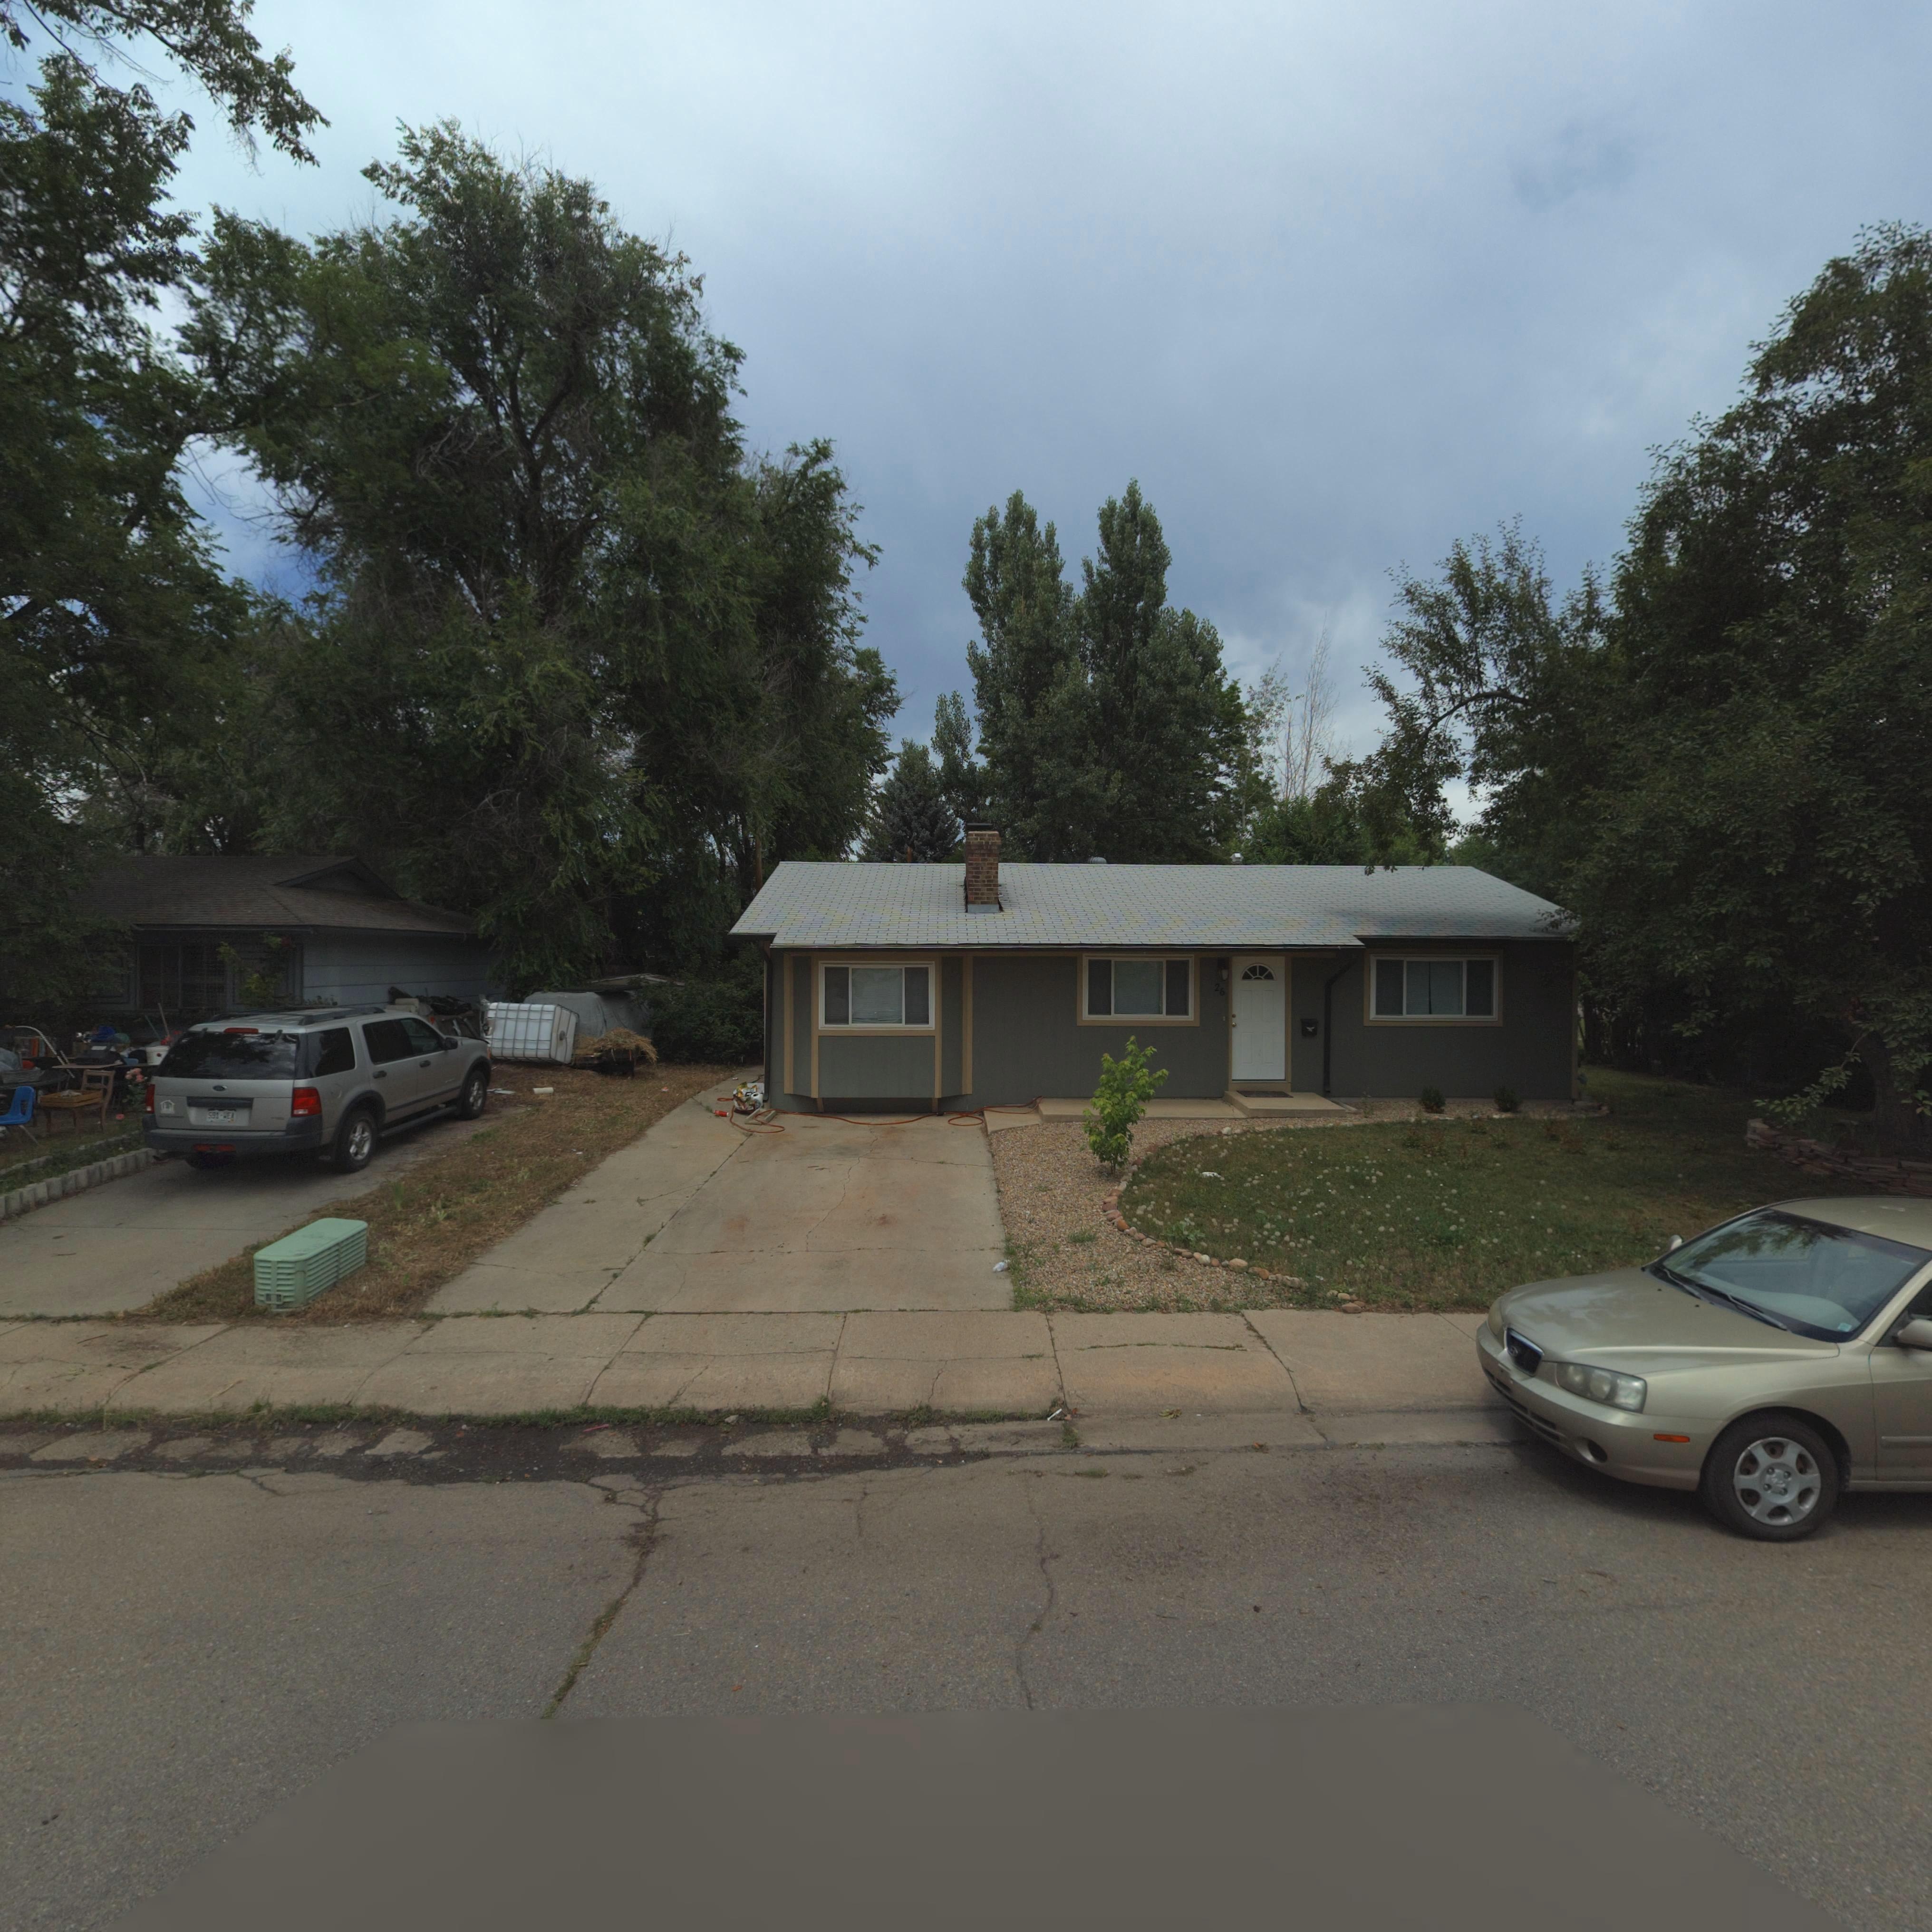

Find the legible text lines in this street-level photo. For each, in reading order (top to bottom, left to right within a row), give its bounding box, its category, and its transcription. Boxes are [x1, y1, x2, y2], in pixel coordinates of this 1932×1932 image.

[1215, 983, 1225, 996] StreetNumber: 26